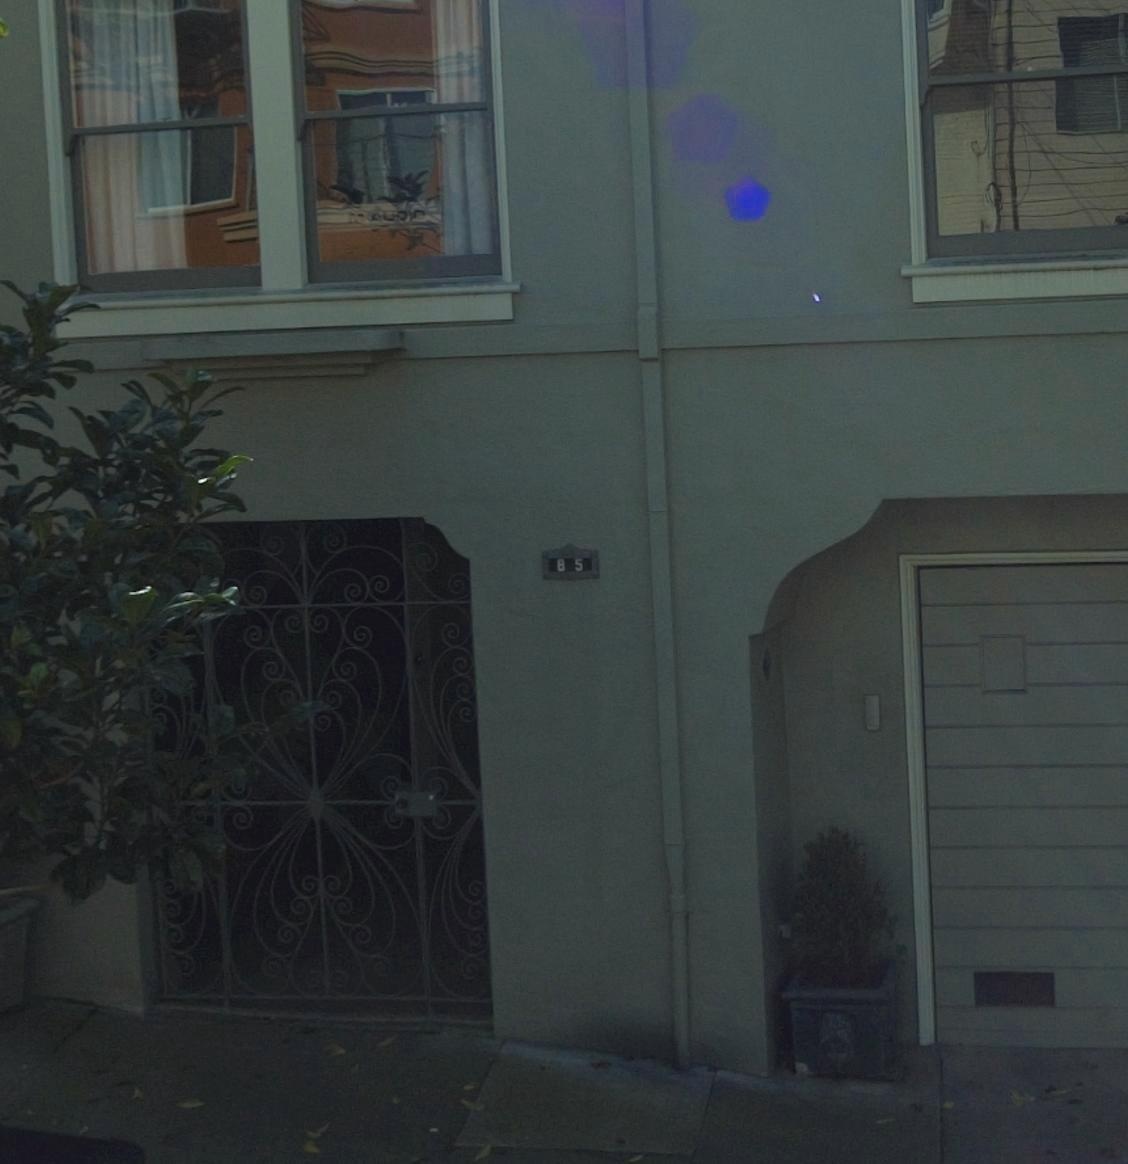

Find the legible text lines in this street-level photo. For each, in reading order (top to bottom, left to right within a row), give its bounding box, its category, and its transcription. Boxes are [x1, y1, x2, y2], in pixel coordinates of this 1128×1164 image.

[549, 559, 590, 573] StreetNumber: 85